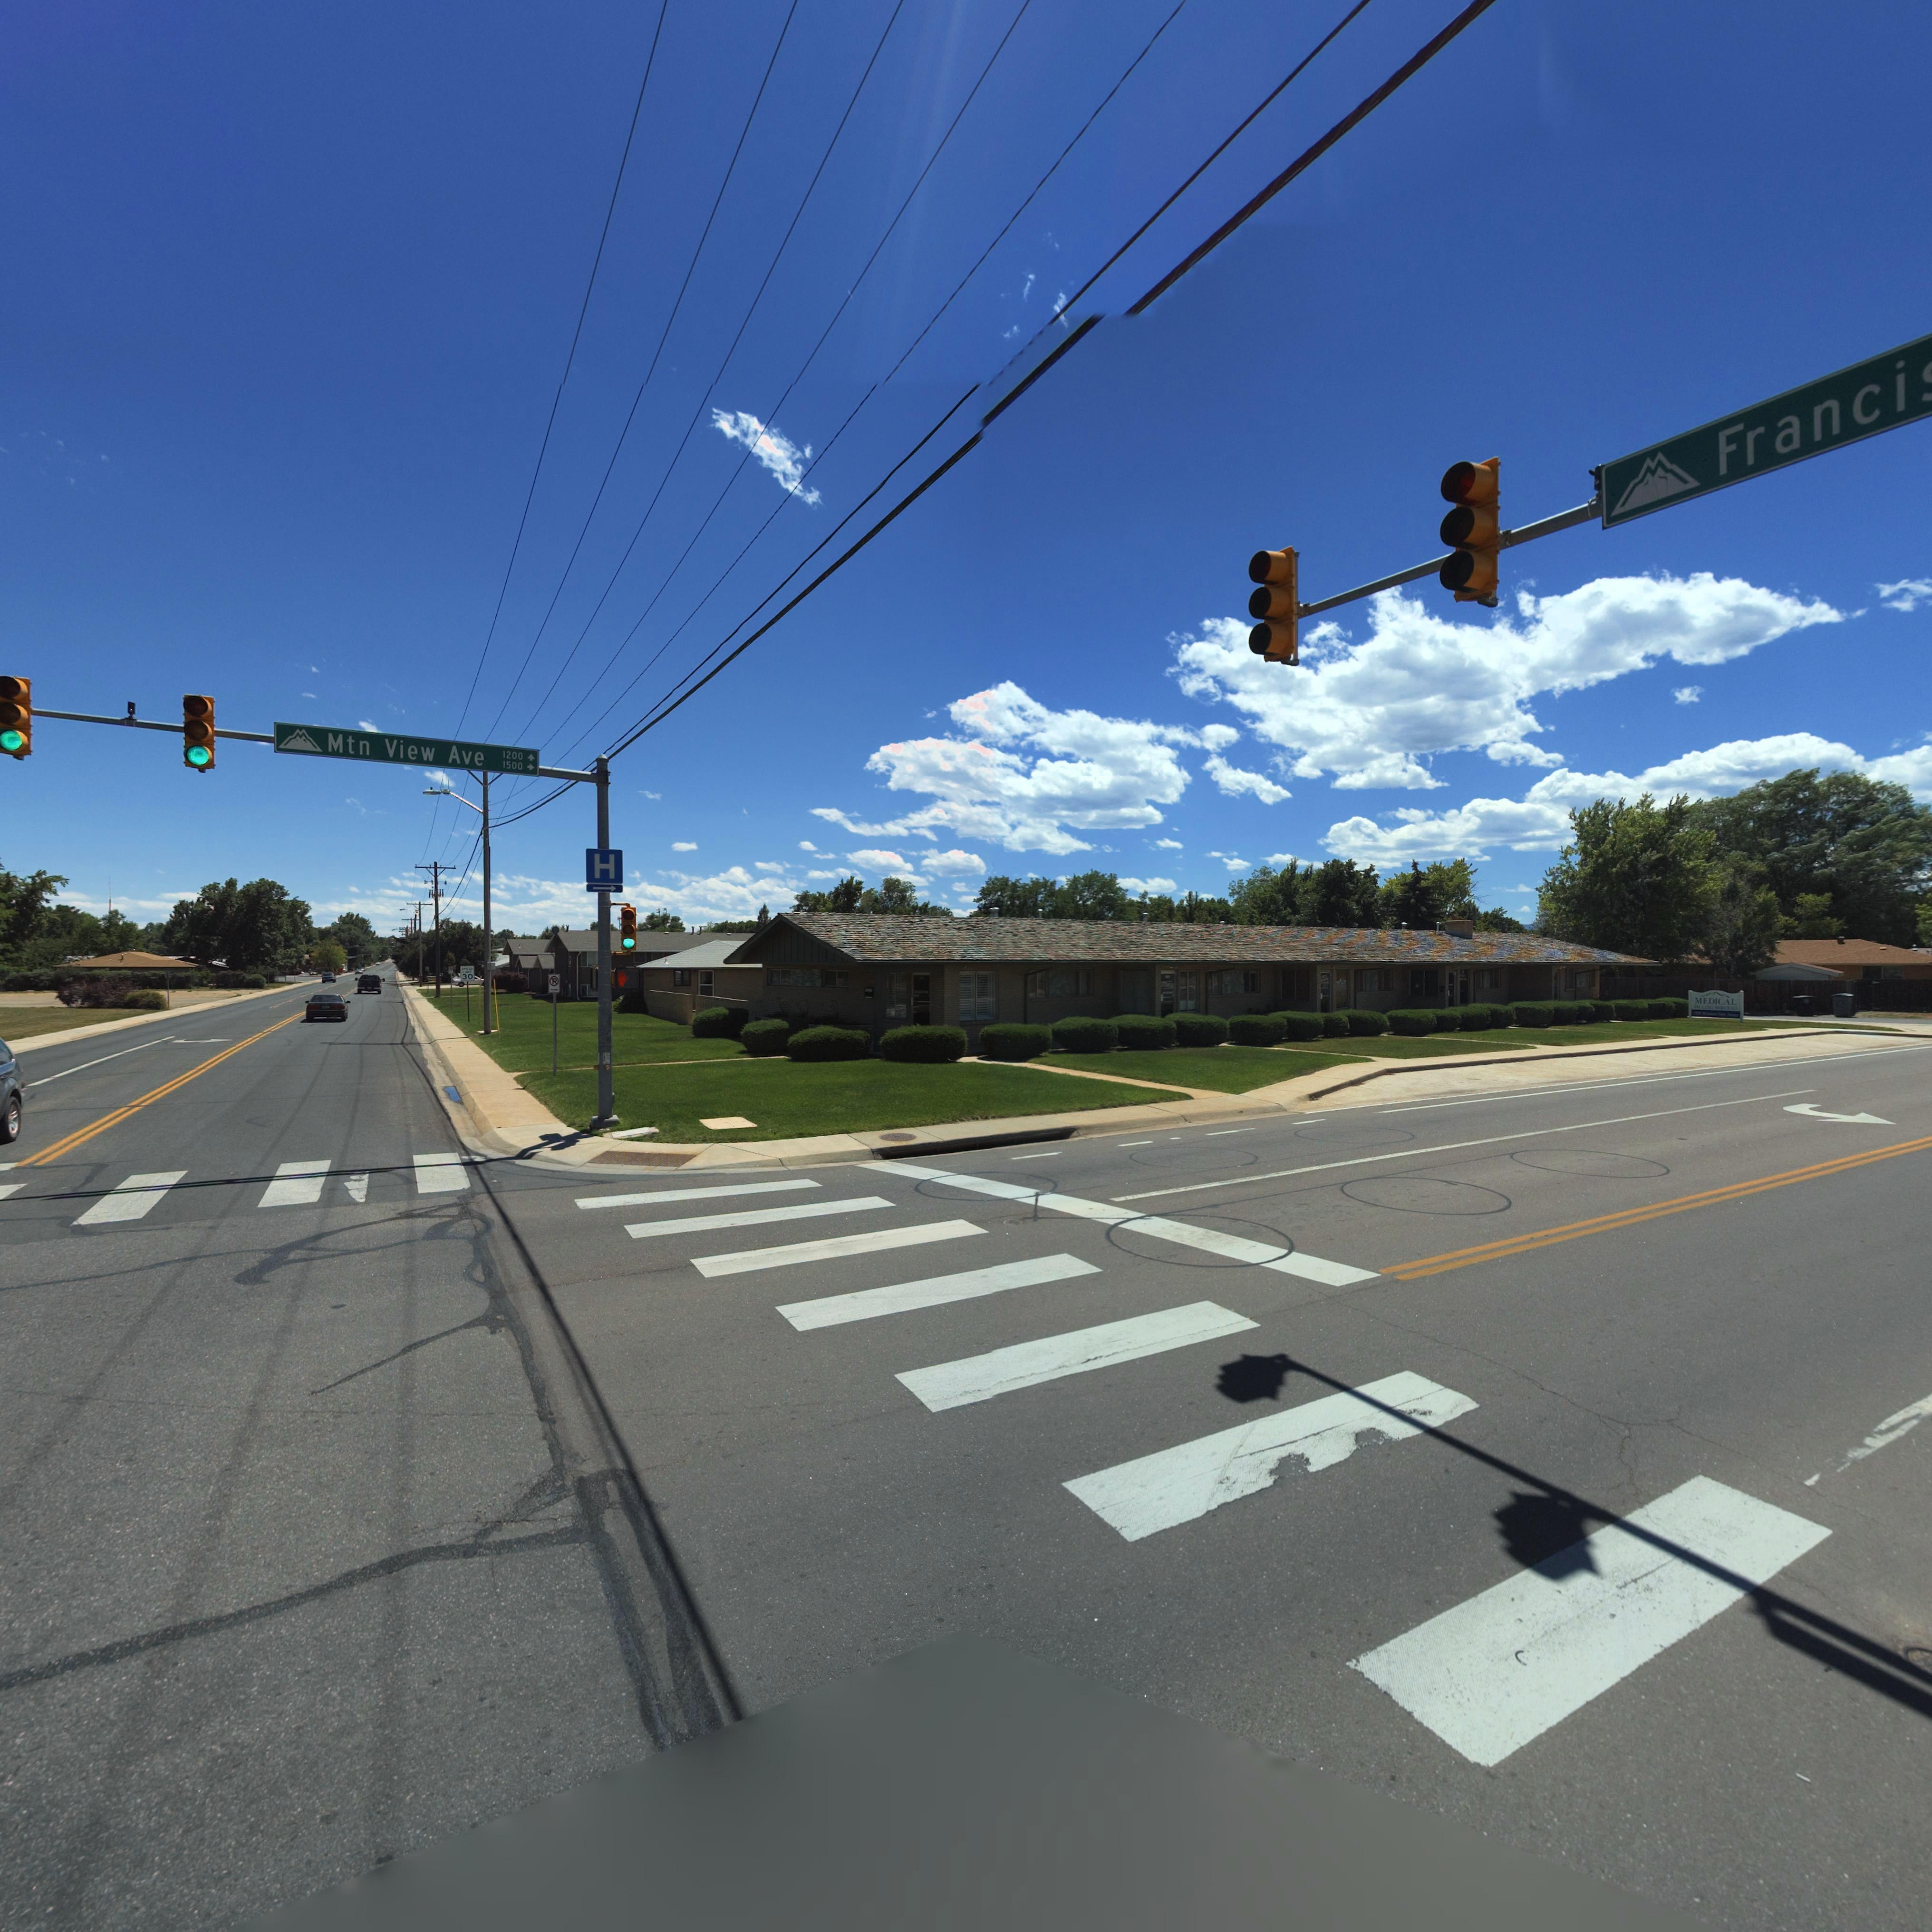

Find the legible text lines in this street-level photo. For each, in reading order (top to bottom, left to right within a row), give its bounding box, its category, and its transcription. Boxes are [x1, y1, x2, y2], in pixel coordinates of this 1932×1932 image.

[1711, 351, 1912, 481] StreetName: Franci
[326, 731, 484, 766] StreetName: Mtn View Ave
[502, 750, 523, 760] StreetNumberRange: 1200
[503, 760, 535, 771] StreetNumberRange: 1500->